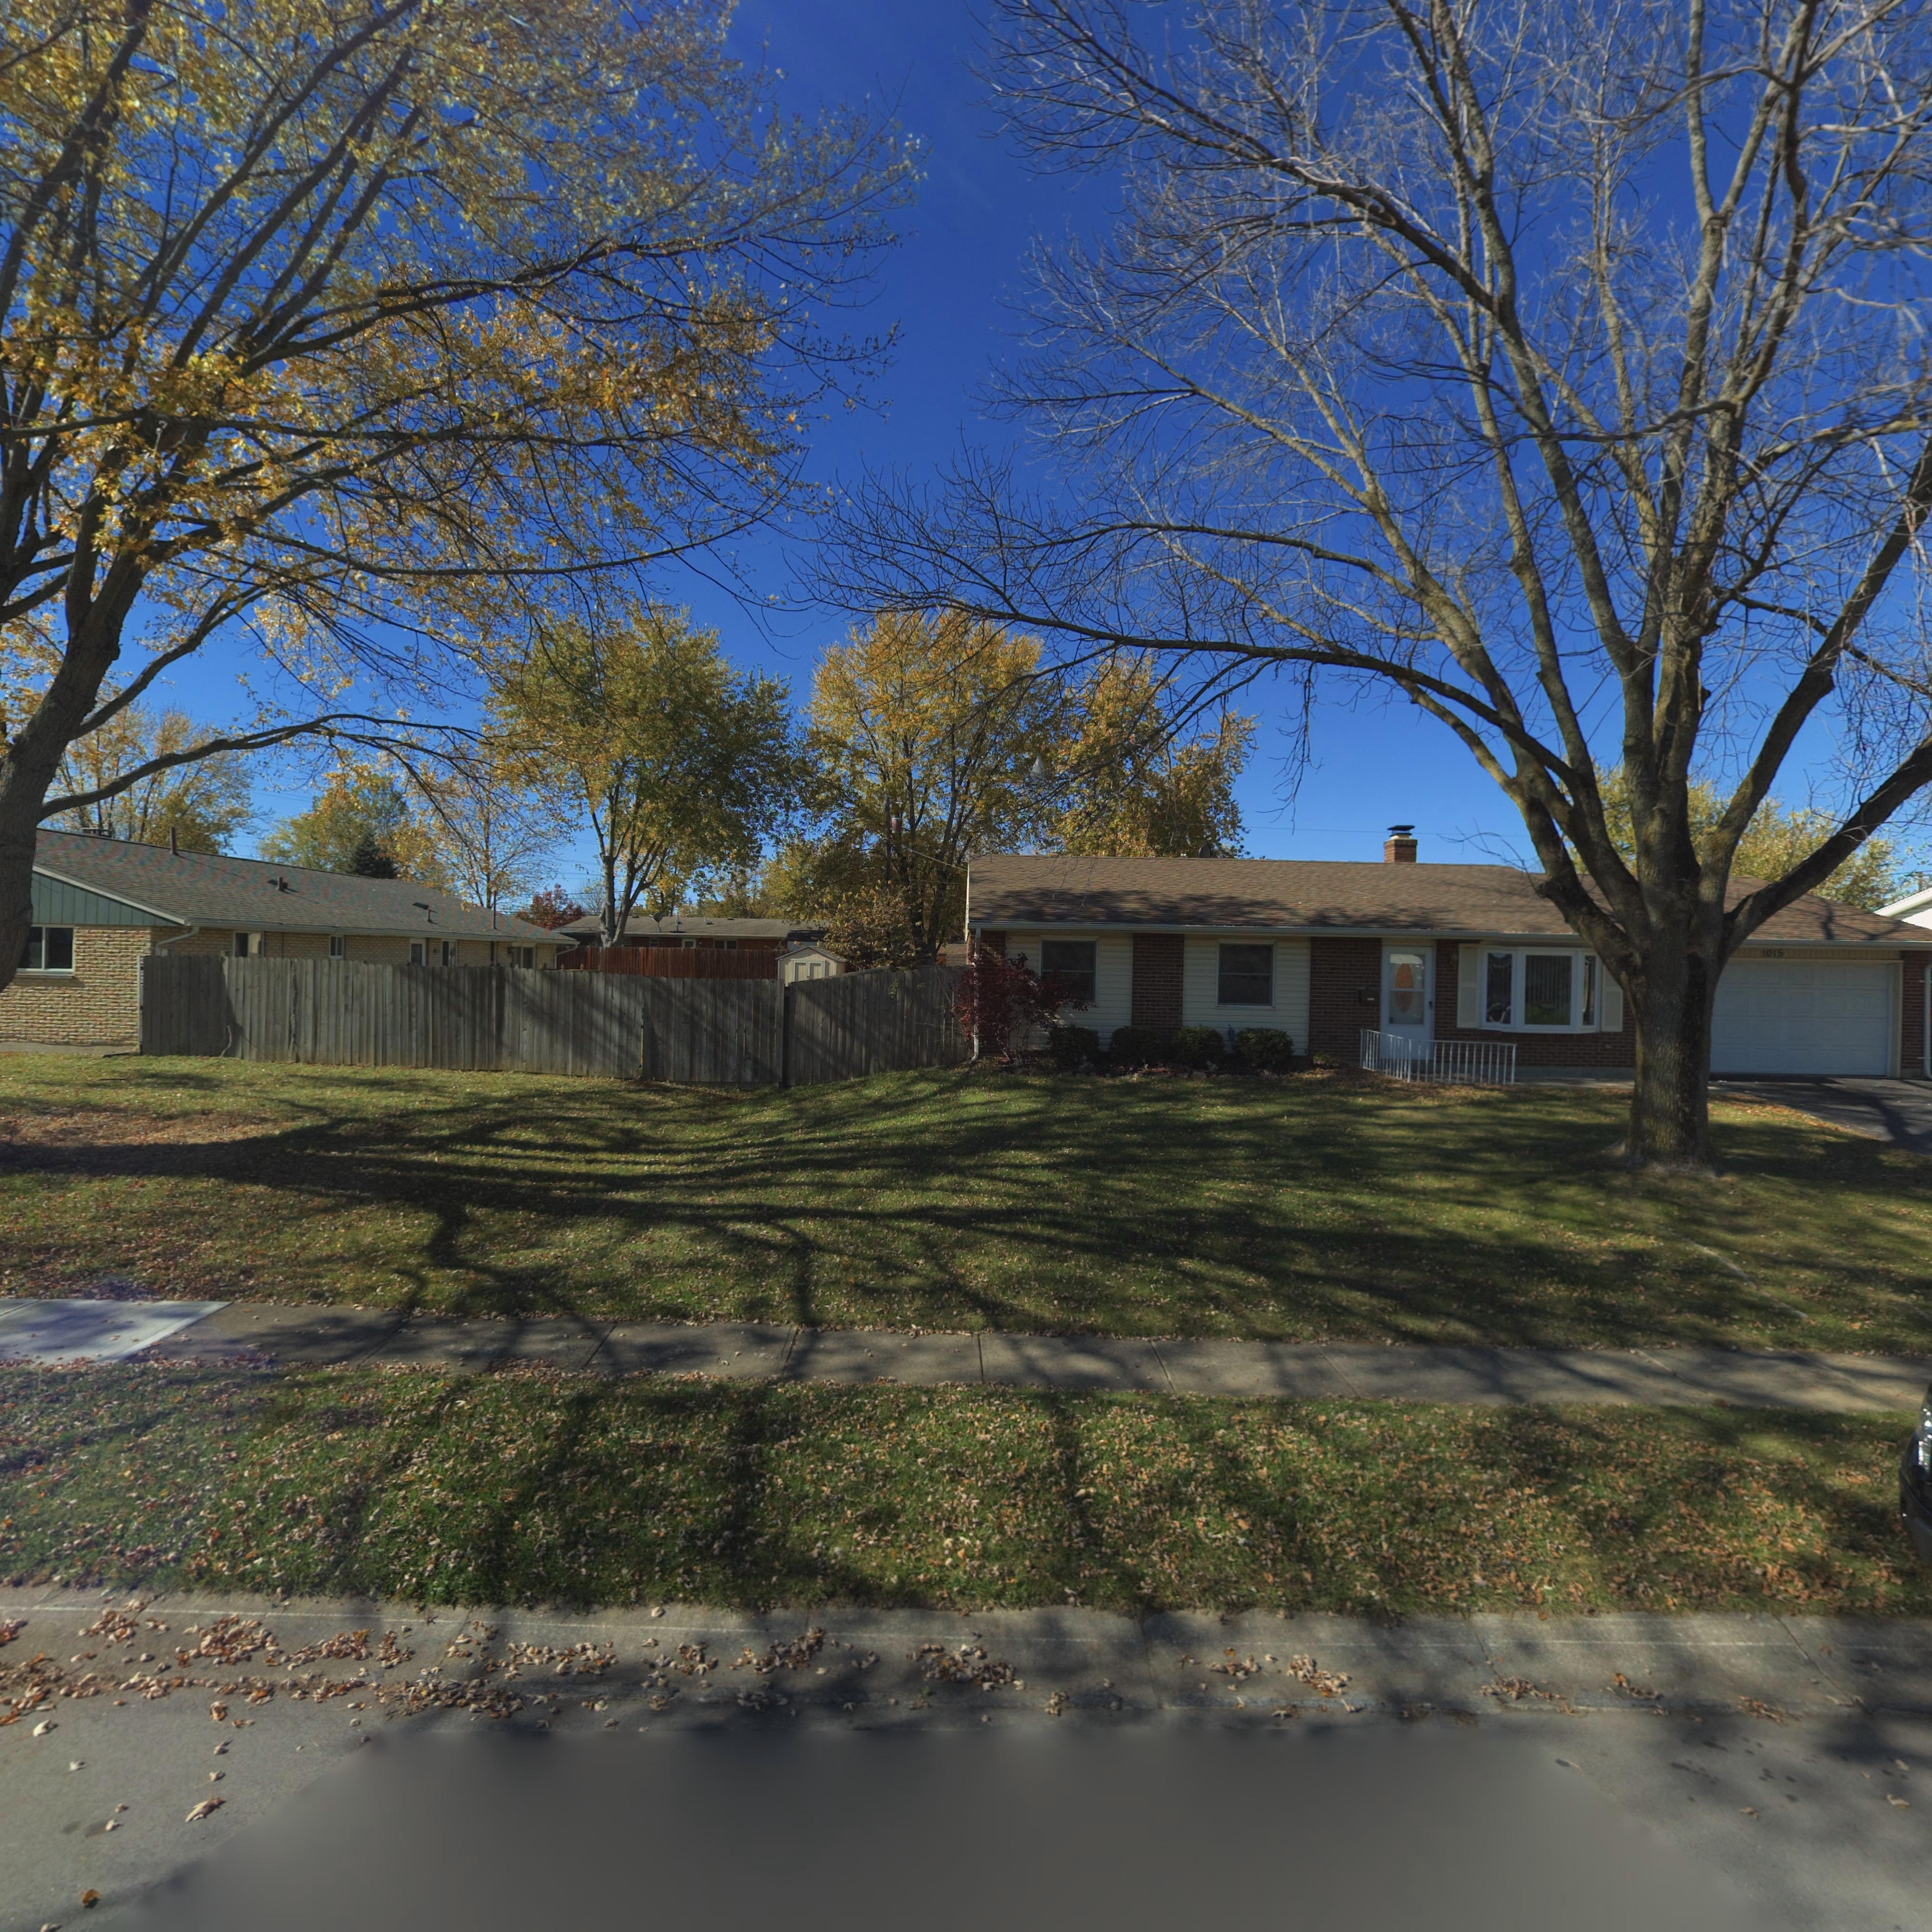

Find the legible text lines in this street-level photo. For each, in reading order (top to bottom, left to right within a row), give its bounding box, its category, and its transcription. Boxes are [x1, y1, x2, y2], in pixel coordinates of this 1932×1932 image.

[1762, 948, 1783, 957] StreetNumber: 1015